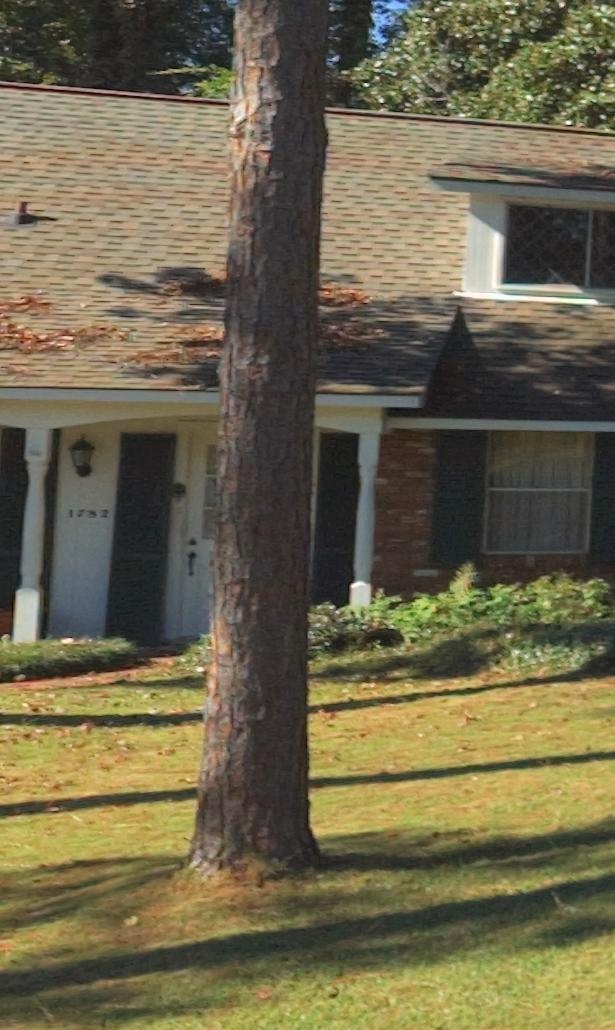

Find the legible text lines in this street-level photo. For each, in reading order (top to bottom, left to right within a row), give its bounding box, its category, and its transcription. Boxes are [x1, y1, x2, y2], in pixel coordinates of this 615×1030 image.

[66, 506, 111, 521] StreetNumber: 1782